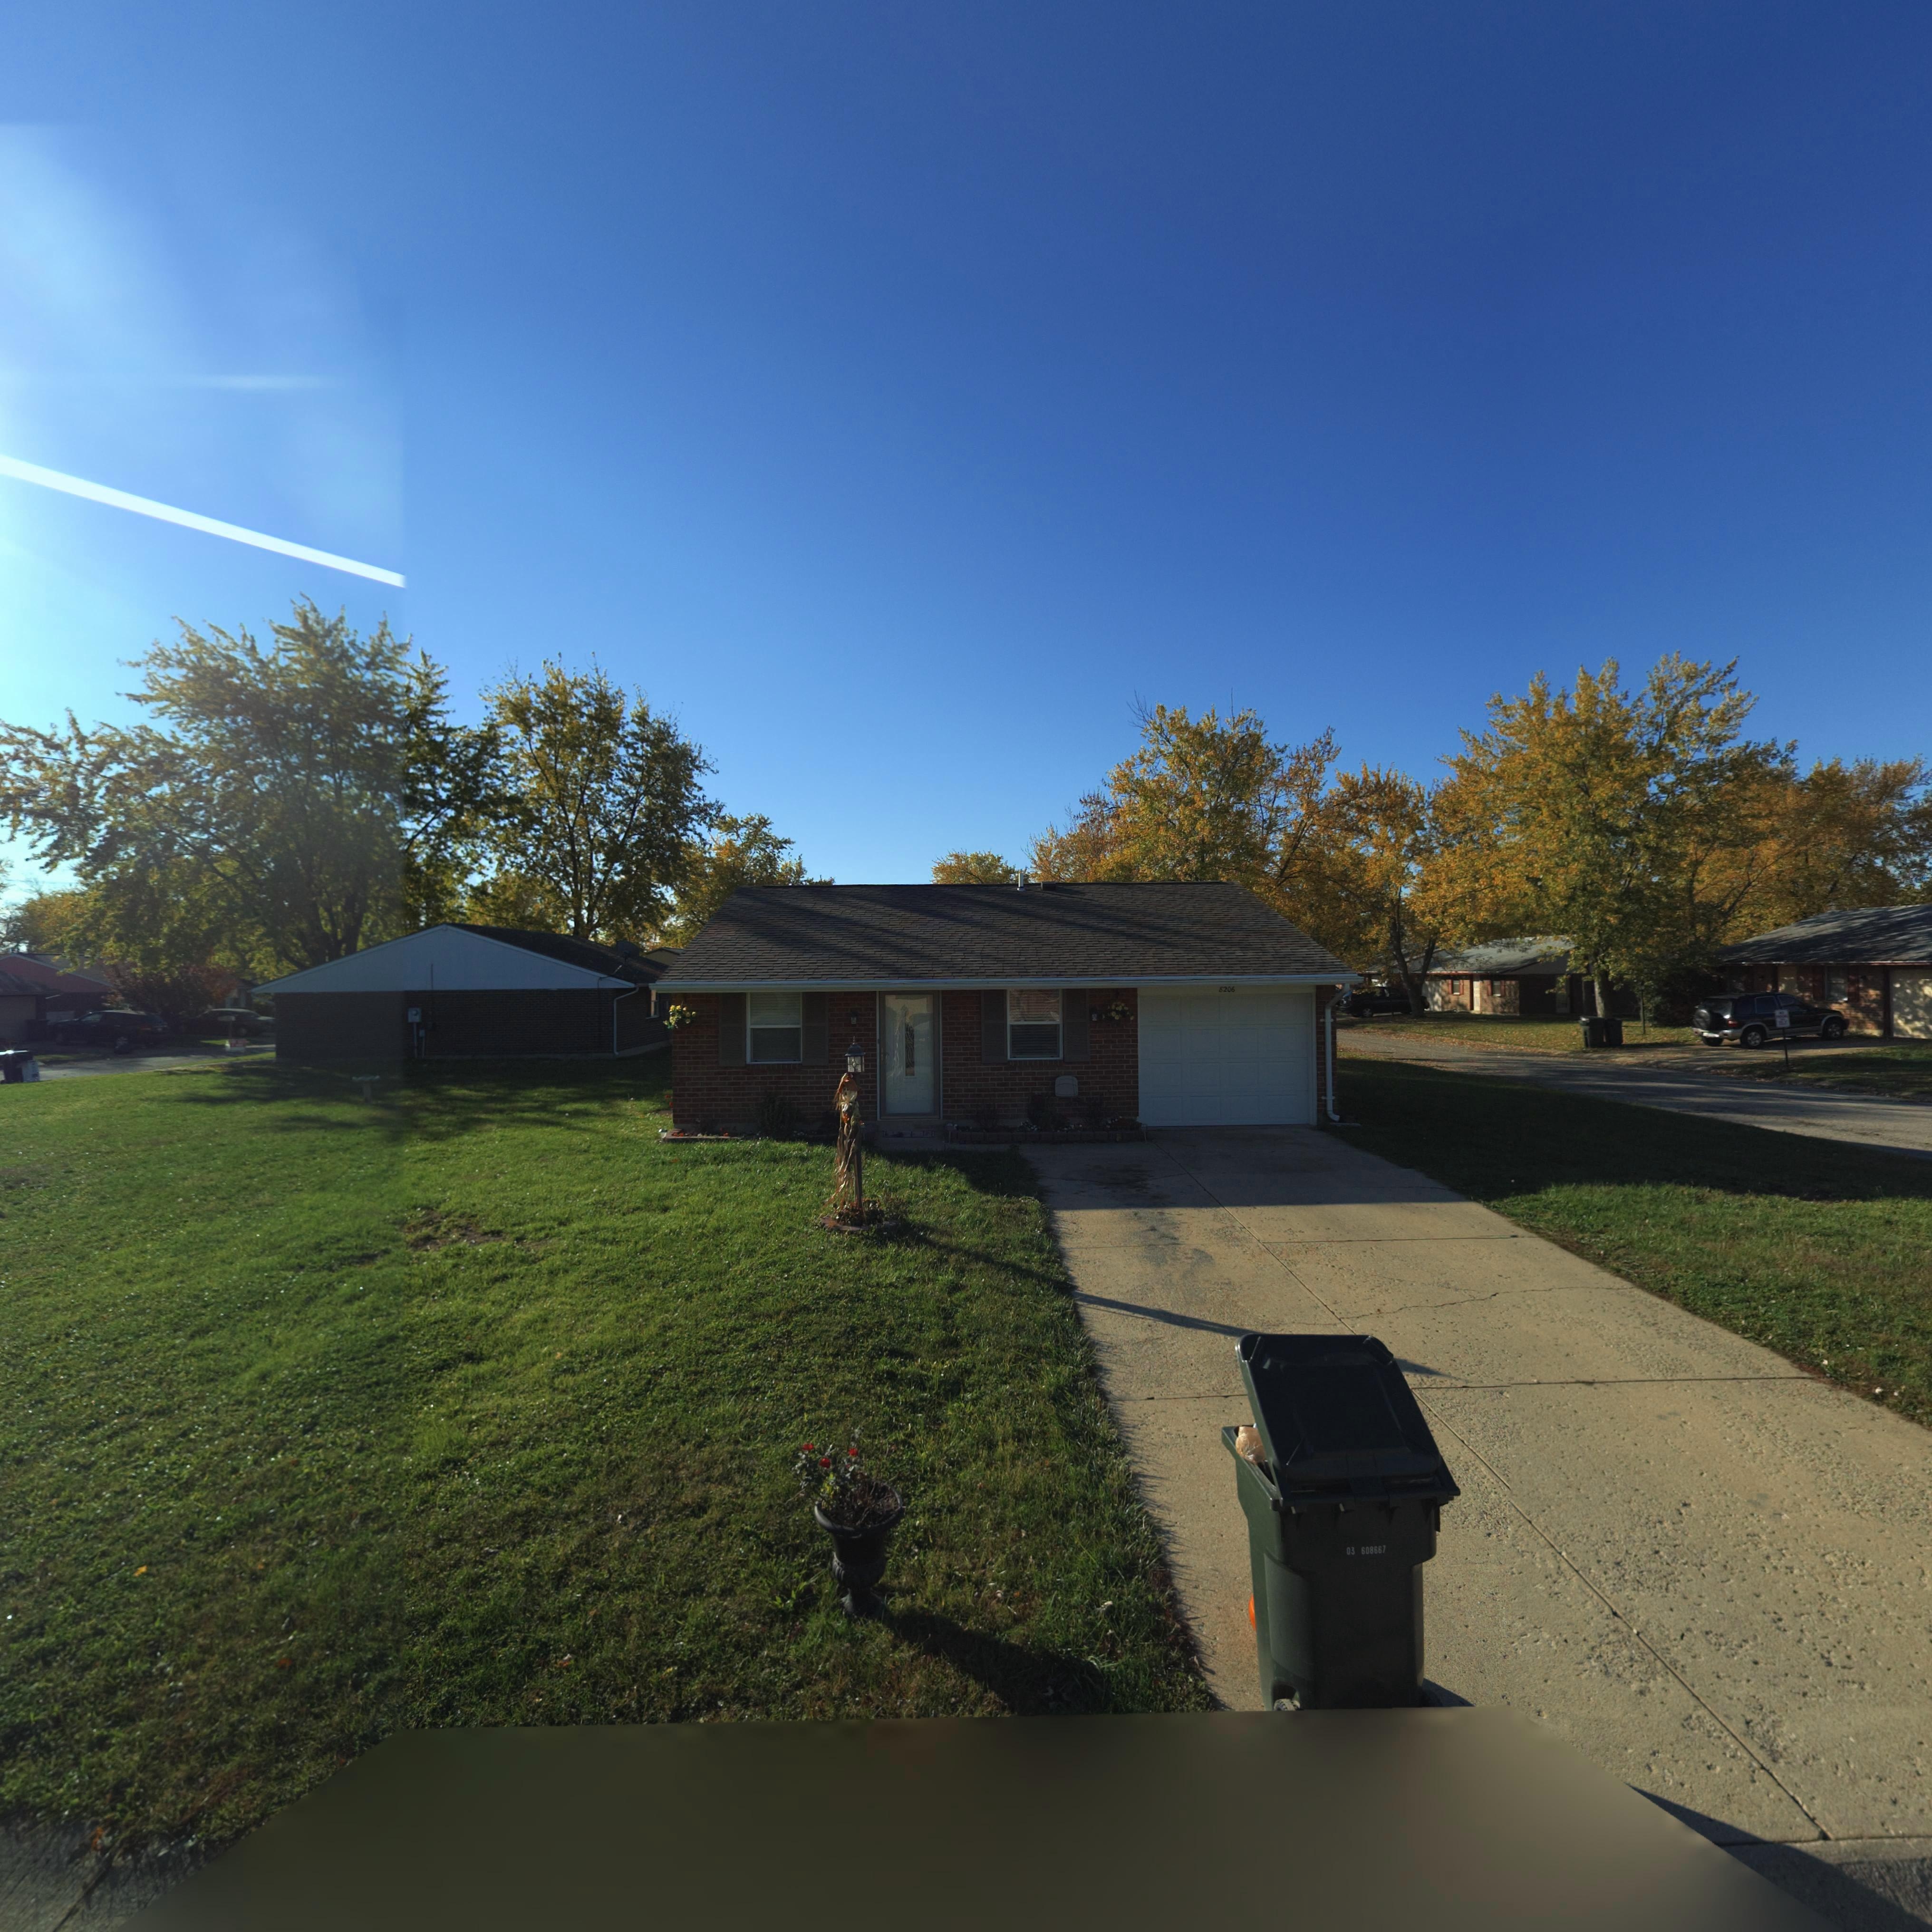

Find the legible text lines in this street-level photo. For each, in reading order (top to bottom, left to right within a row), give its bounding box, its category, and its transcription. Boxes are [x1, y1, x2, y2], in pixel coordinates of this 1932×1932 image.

[1217, 985, 1236, 994] StreetNumber: 8206